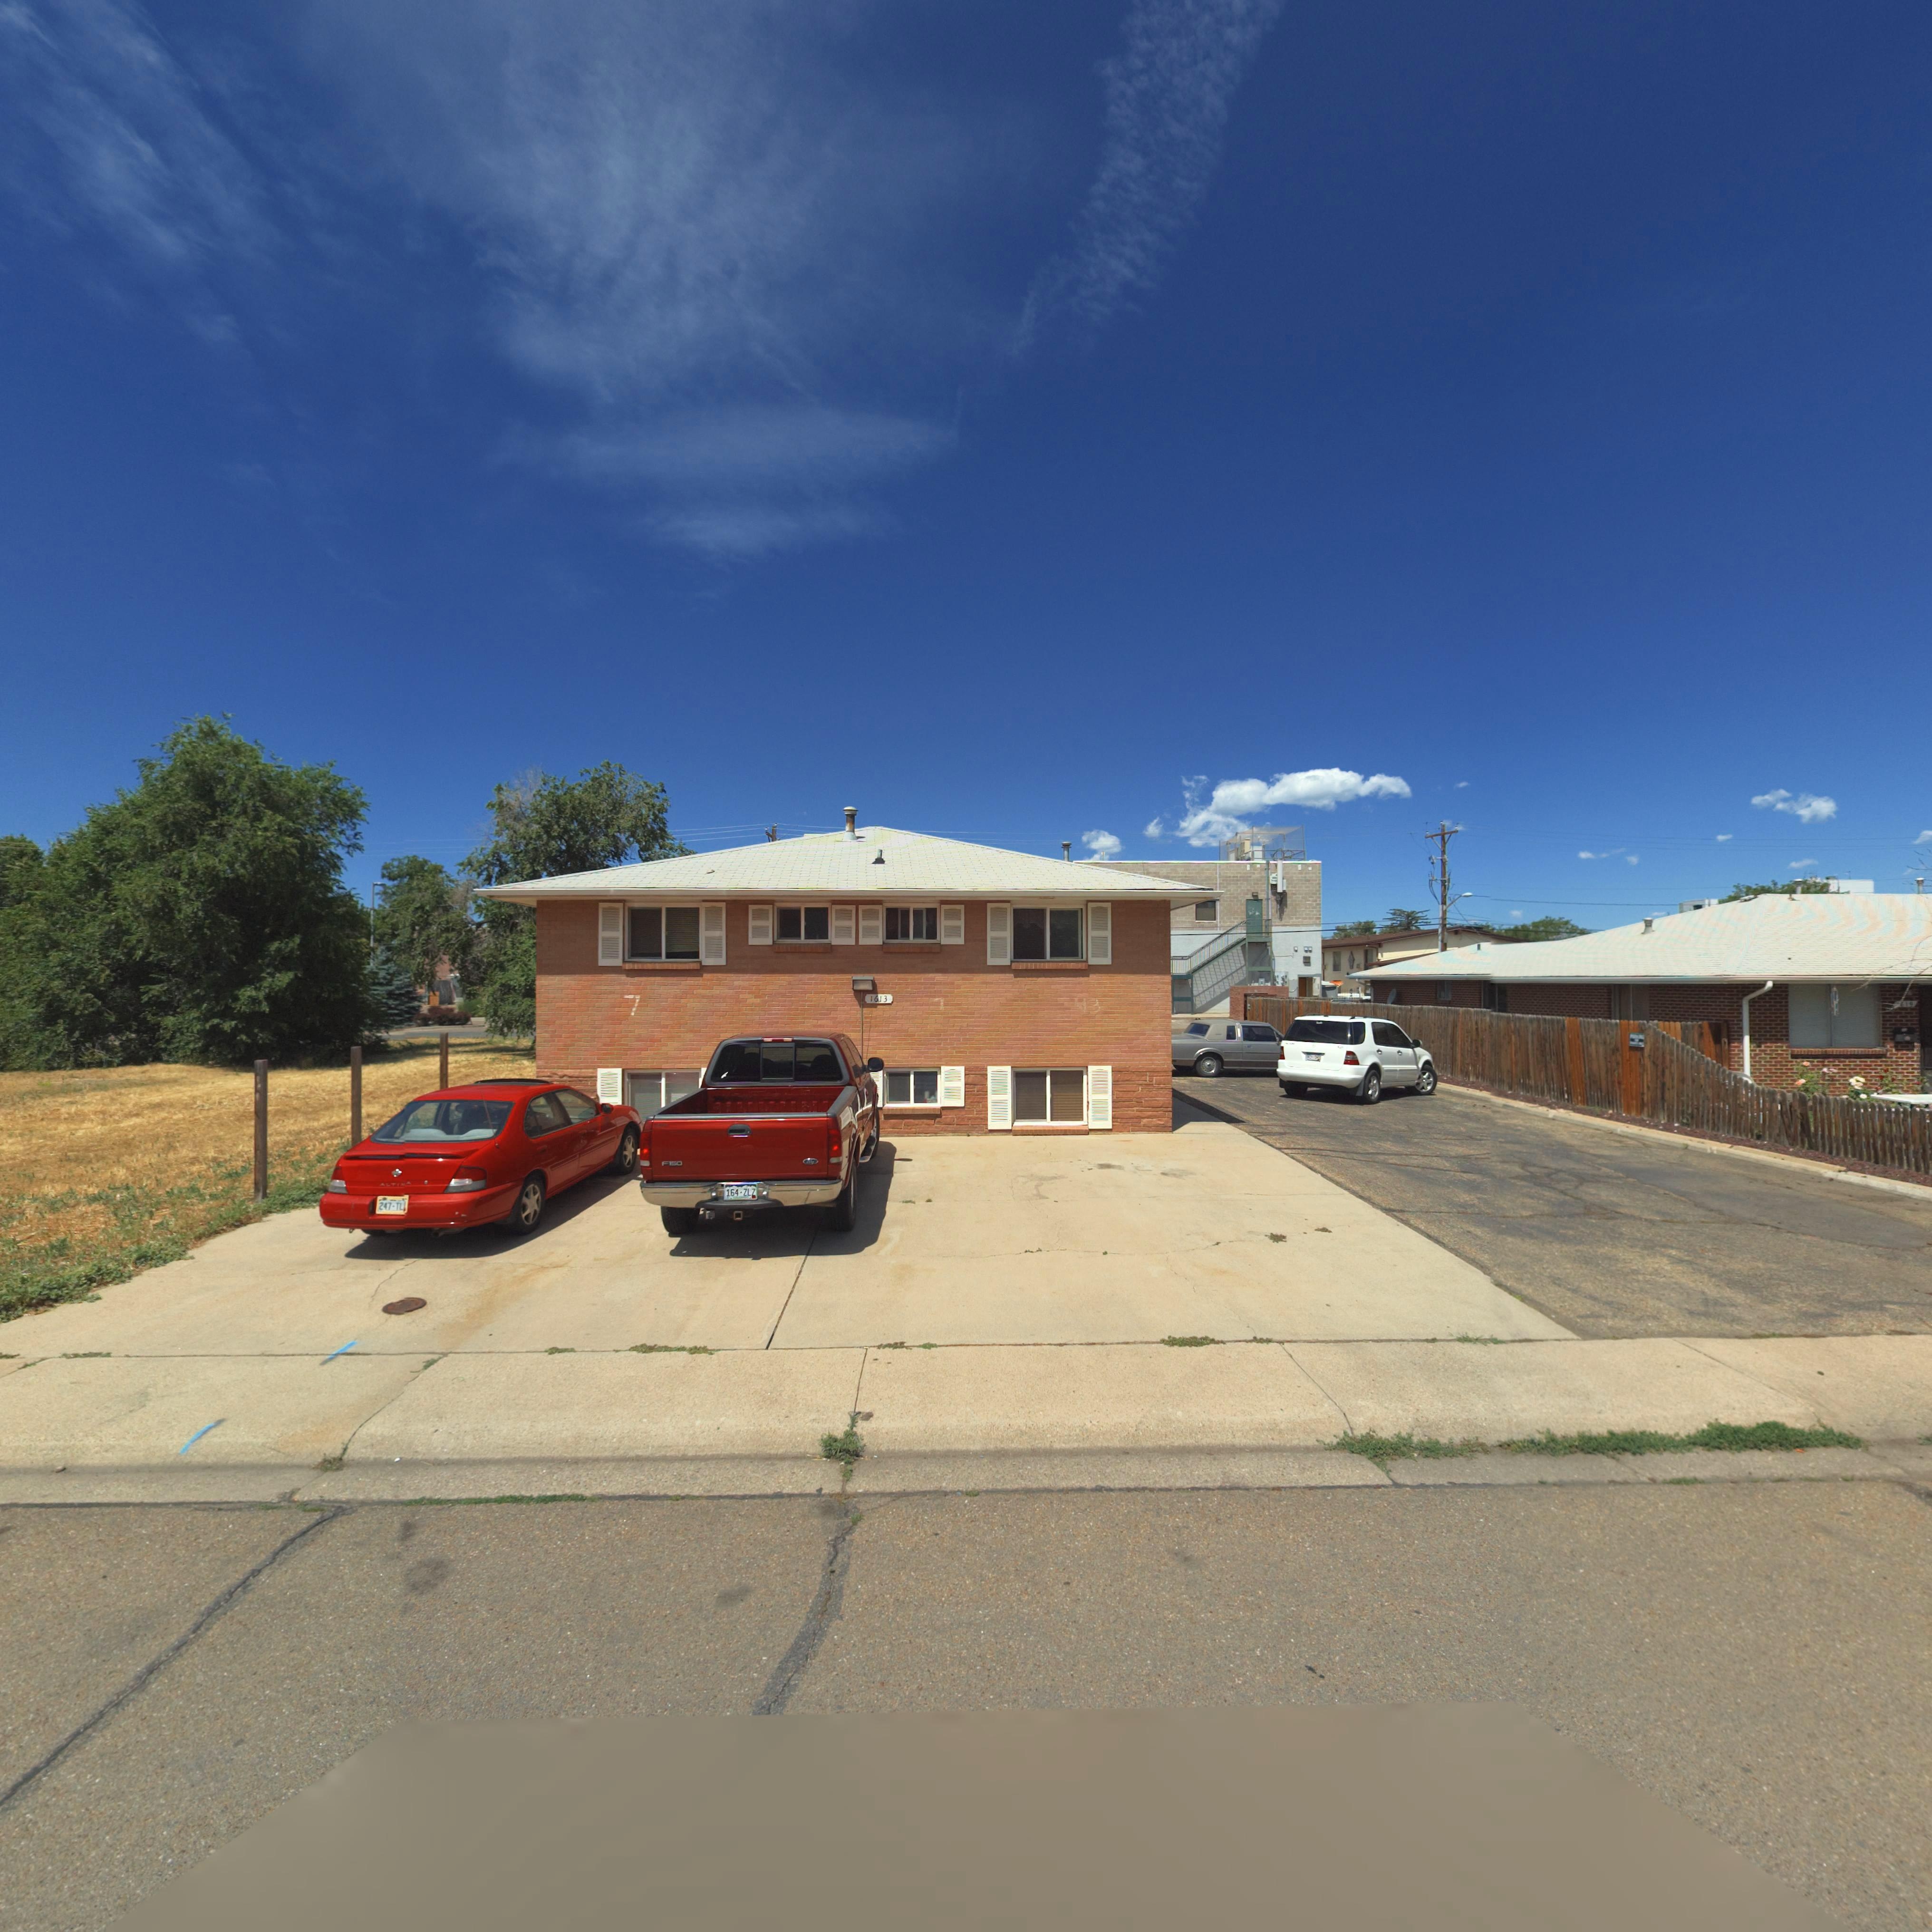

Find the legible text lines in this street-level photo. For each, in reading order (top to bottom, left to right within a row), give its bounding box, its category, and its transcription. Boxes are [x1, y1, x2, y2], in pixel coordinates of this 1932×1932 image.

[870, 995, 888, 1003] StreetNumber: 1613
[1895, 1001, 1914, 1008] StreetNumber: *619